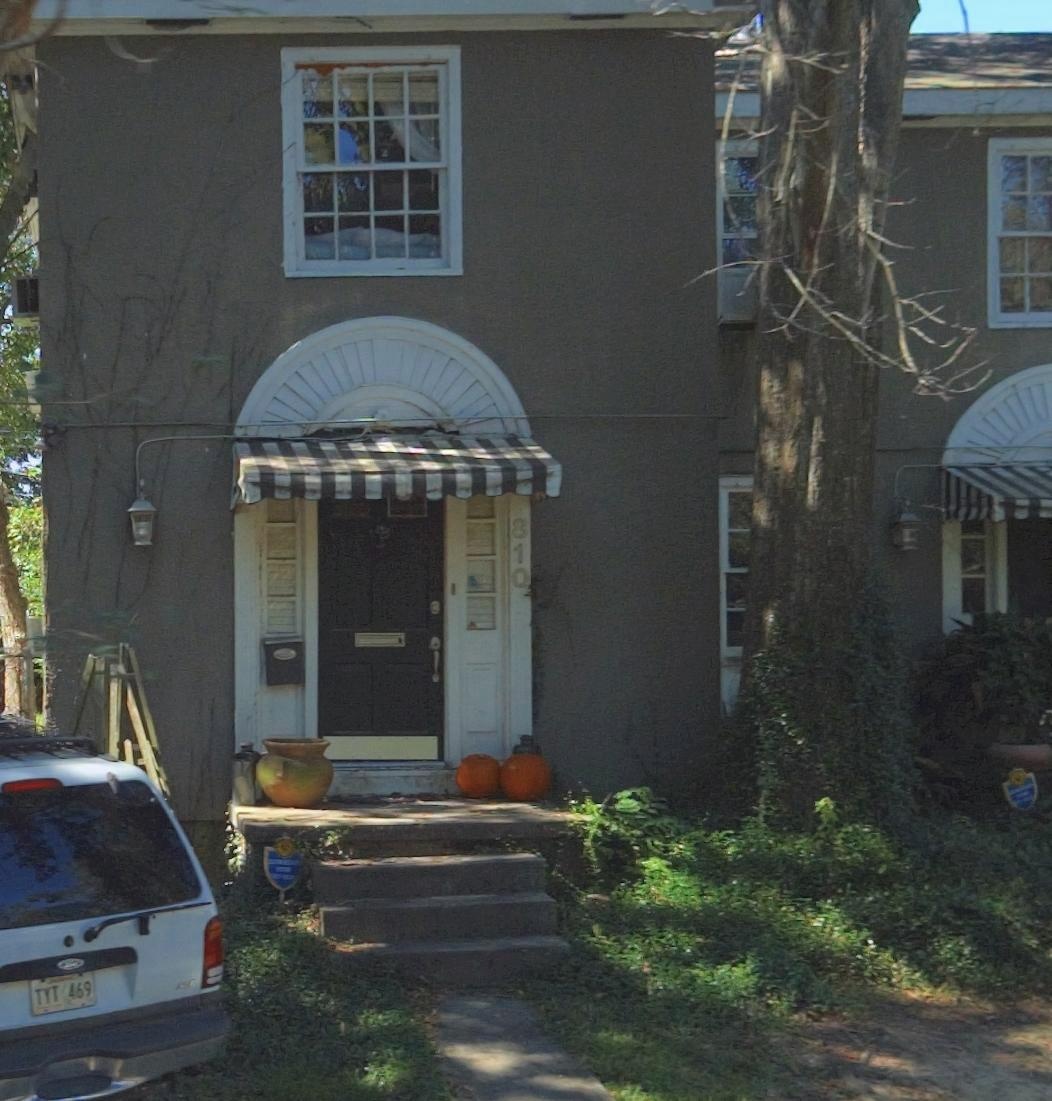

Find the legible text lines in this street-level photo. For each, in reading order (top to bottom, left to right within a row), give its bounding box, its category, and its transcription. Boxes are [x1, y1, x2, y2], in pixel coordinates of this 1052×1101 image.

[509, 515, 532, 591] StreetNumber: 810
[30, 976, 95, 1010] None: TYT*469